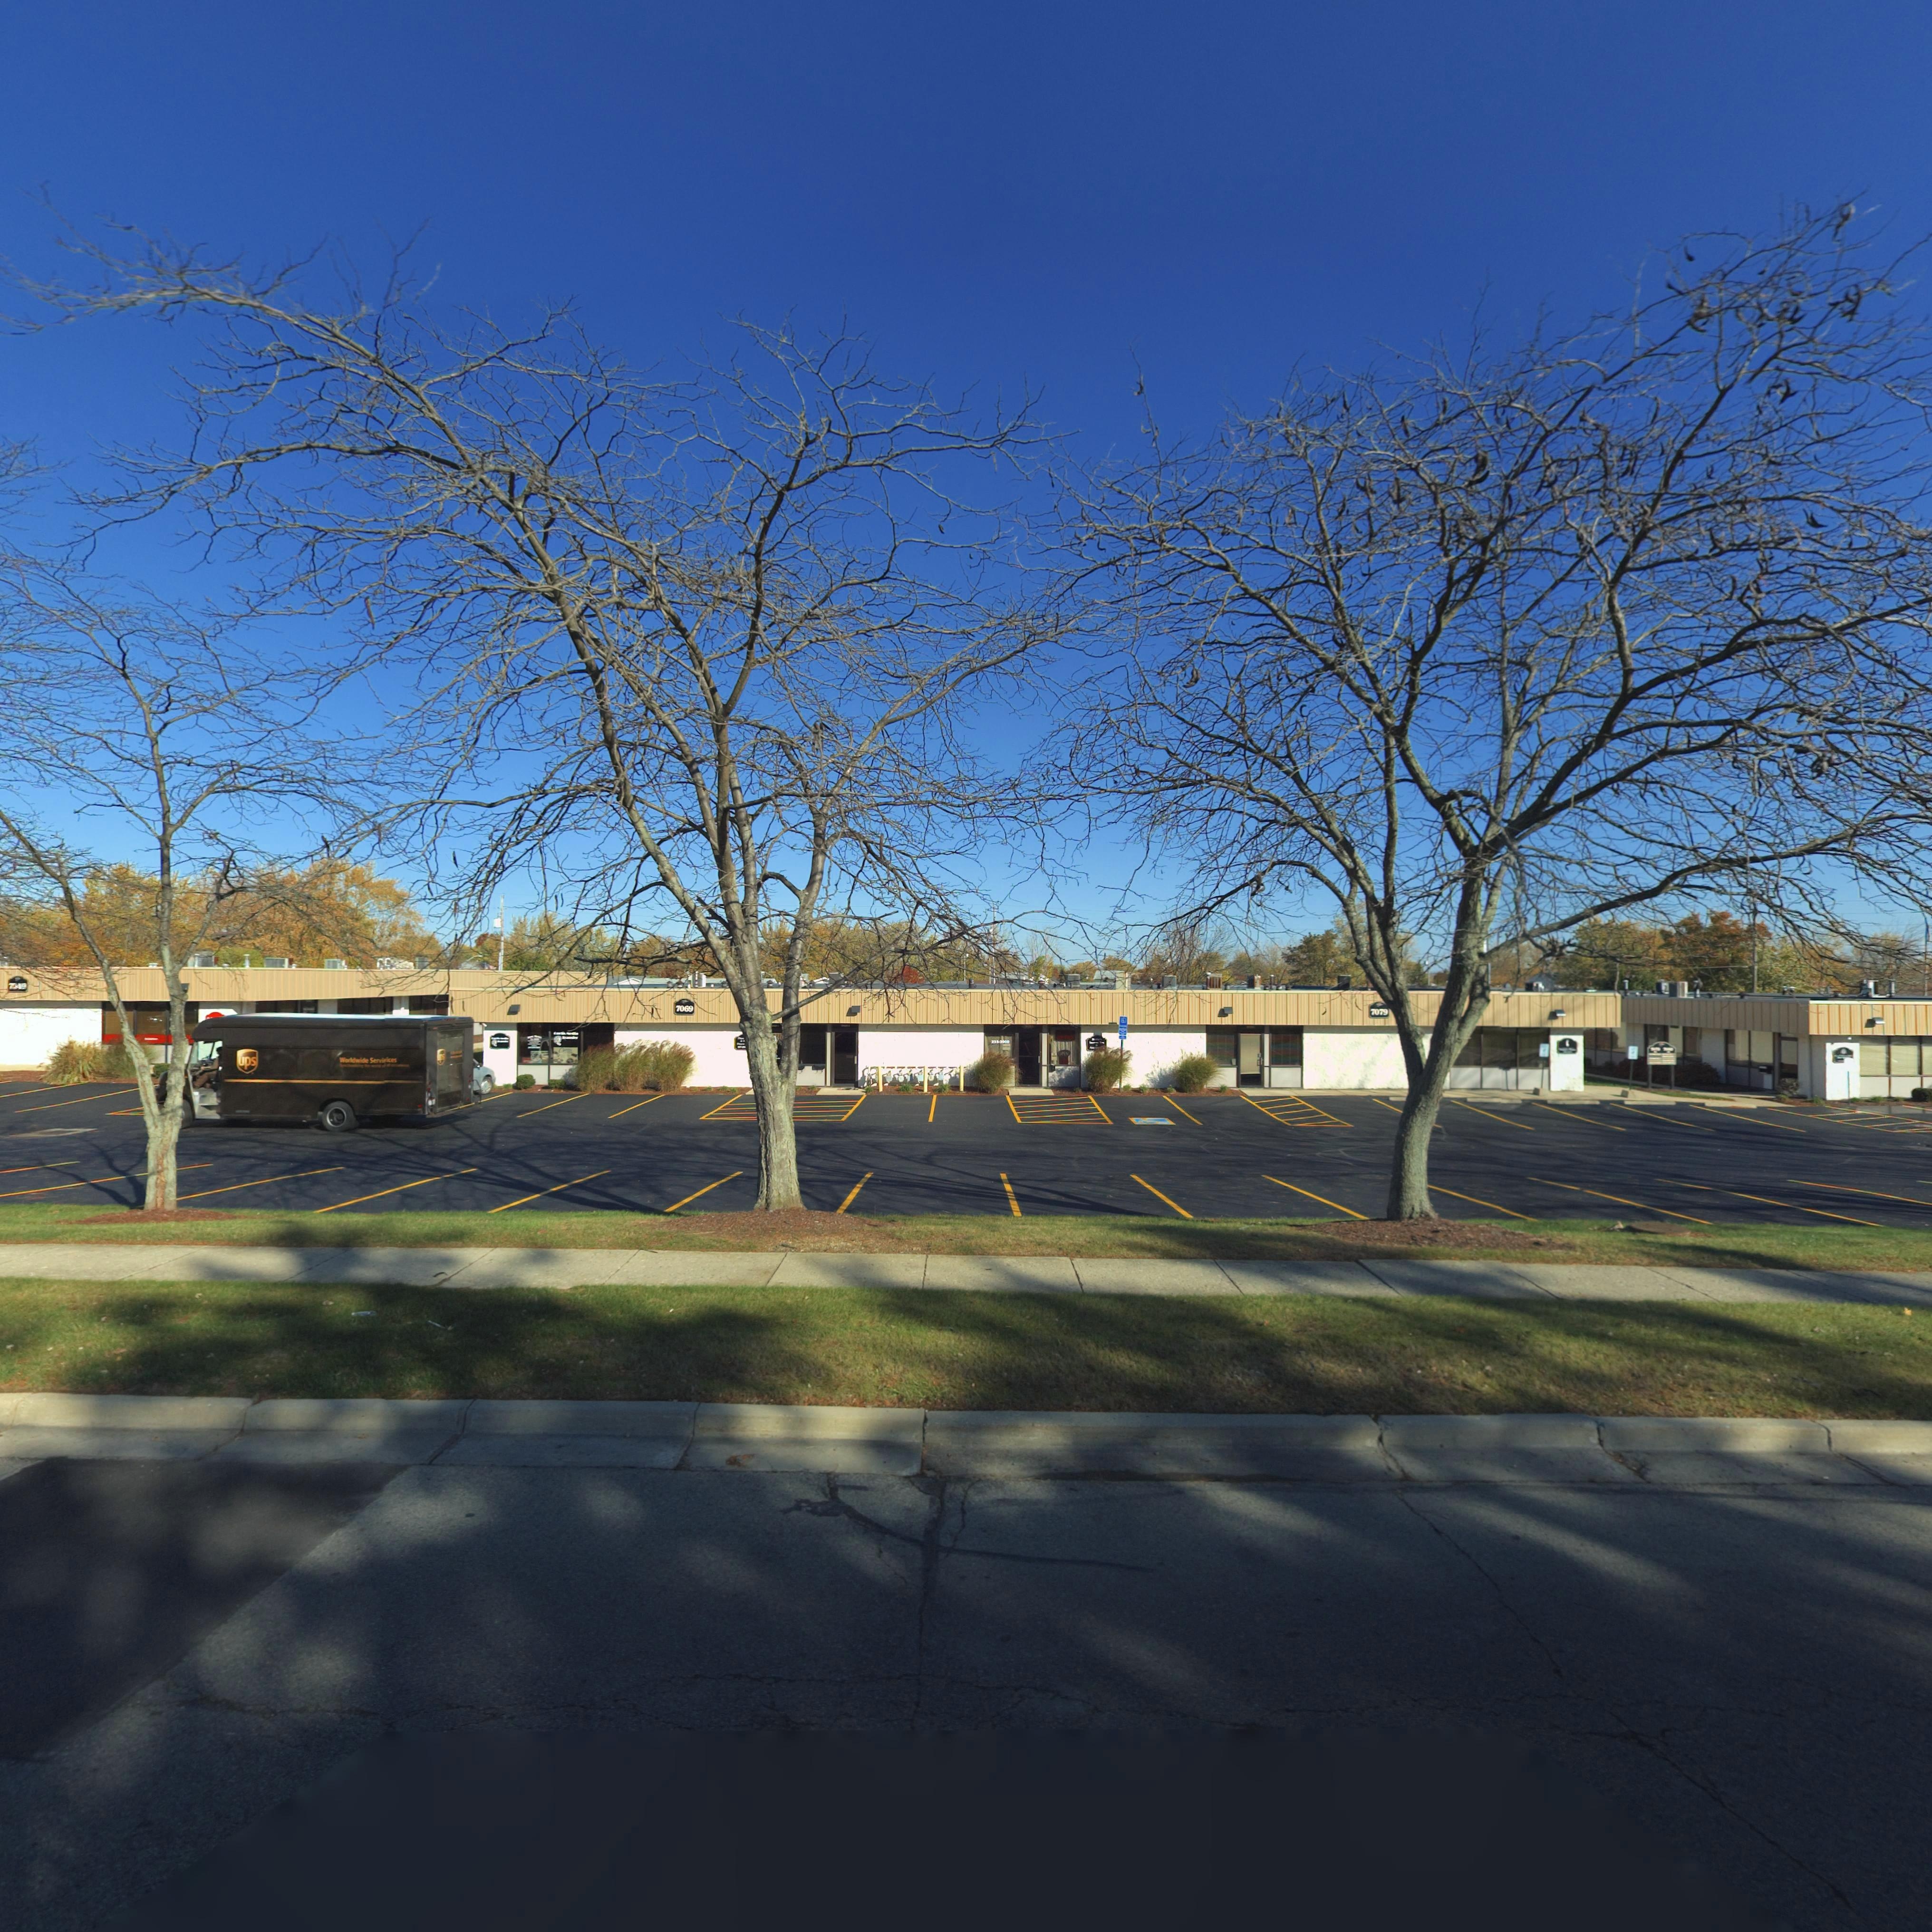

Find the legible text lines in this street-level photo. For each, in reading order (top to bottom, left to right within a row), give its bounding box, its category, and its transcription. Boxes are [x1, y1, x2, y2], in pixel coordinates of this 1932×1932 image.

[675, 1004, 695, 1014] StreetNumber: 7069
[1369, 1007, 1389, 1017] StreetNumber: 7079